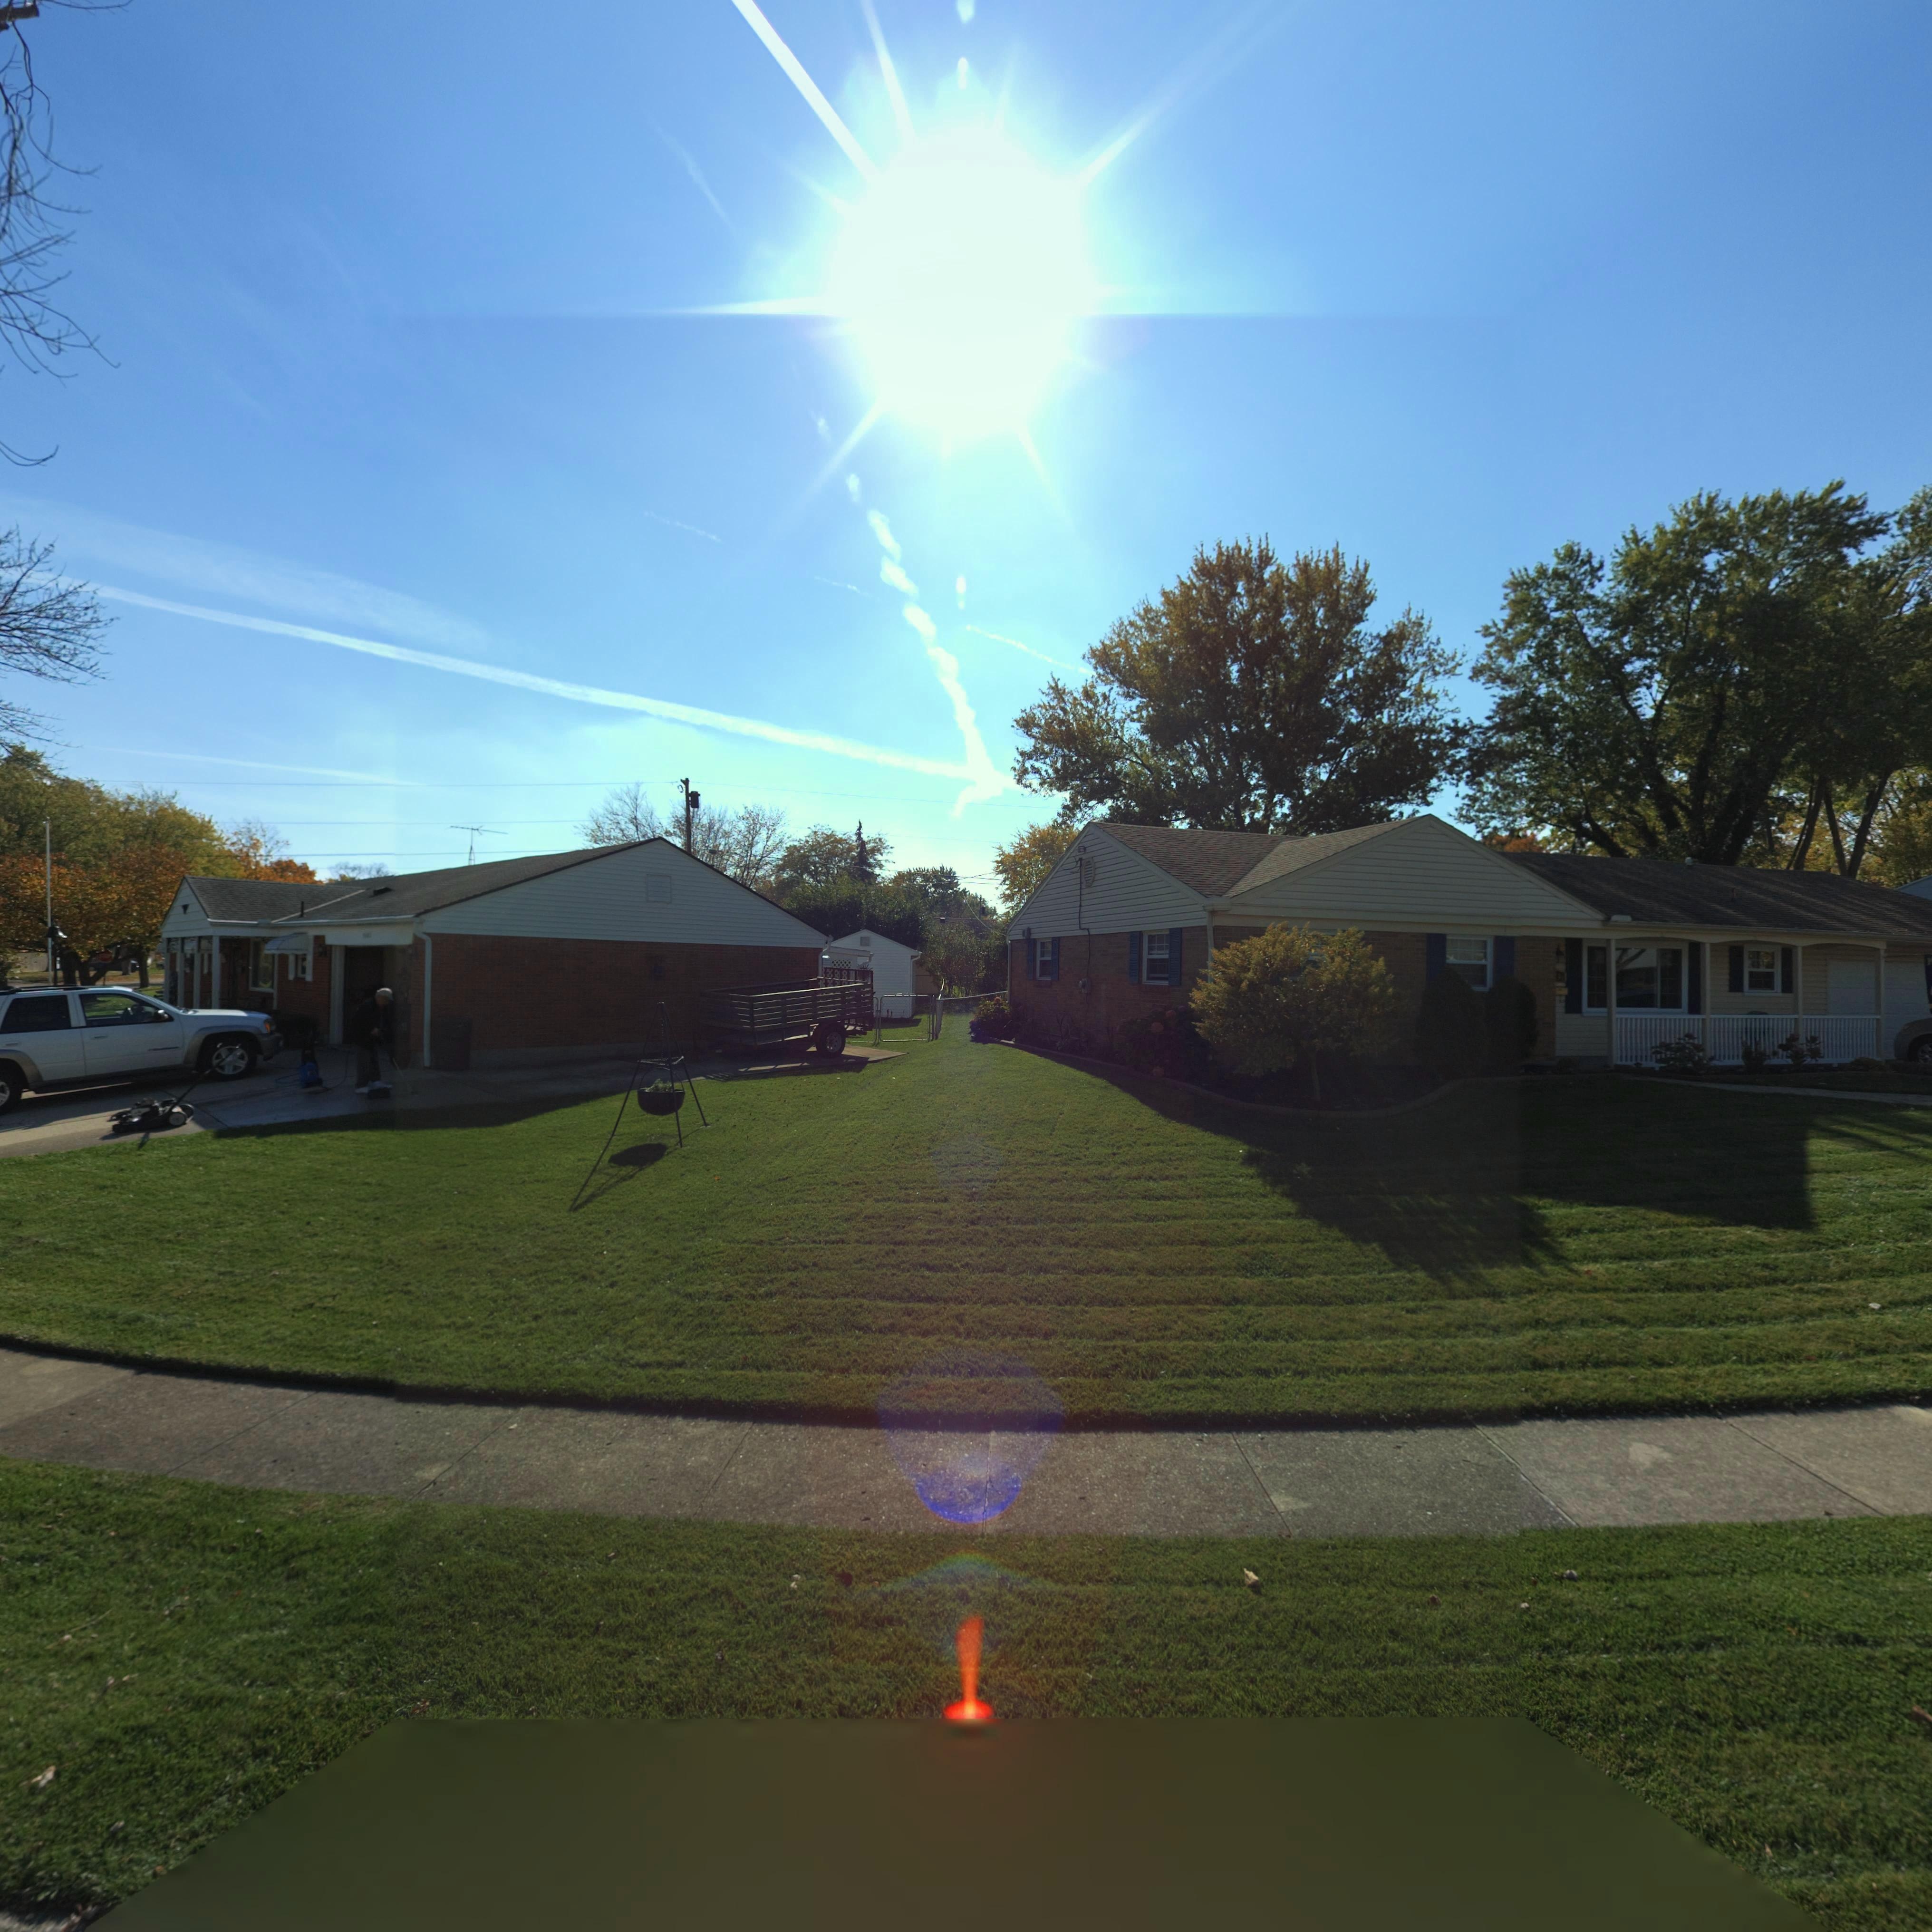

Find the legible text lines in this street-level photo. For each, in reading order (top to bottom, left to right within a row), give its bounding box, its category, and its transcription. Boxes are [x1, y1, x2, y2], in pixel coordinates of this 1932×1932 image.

[362, 932, 372, 938] StreetNumber: 3601
[1556, 974, 1564, 981] StreetNumber: 36